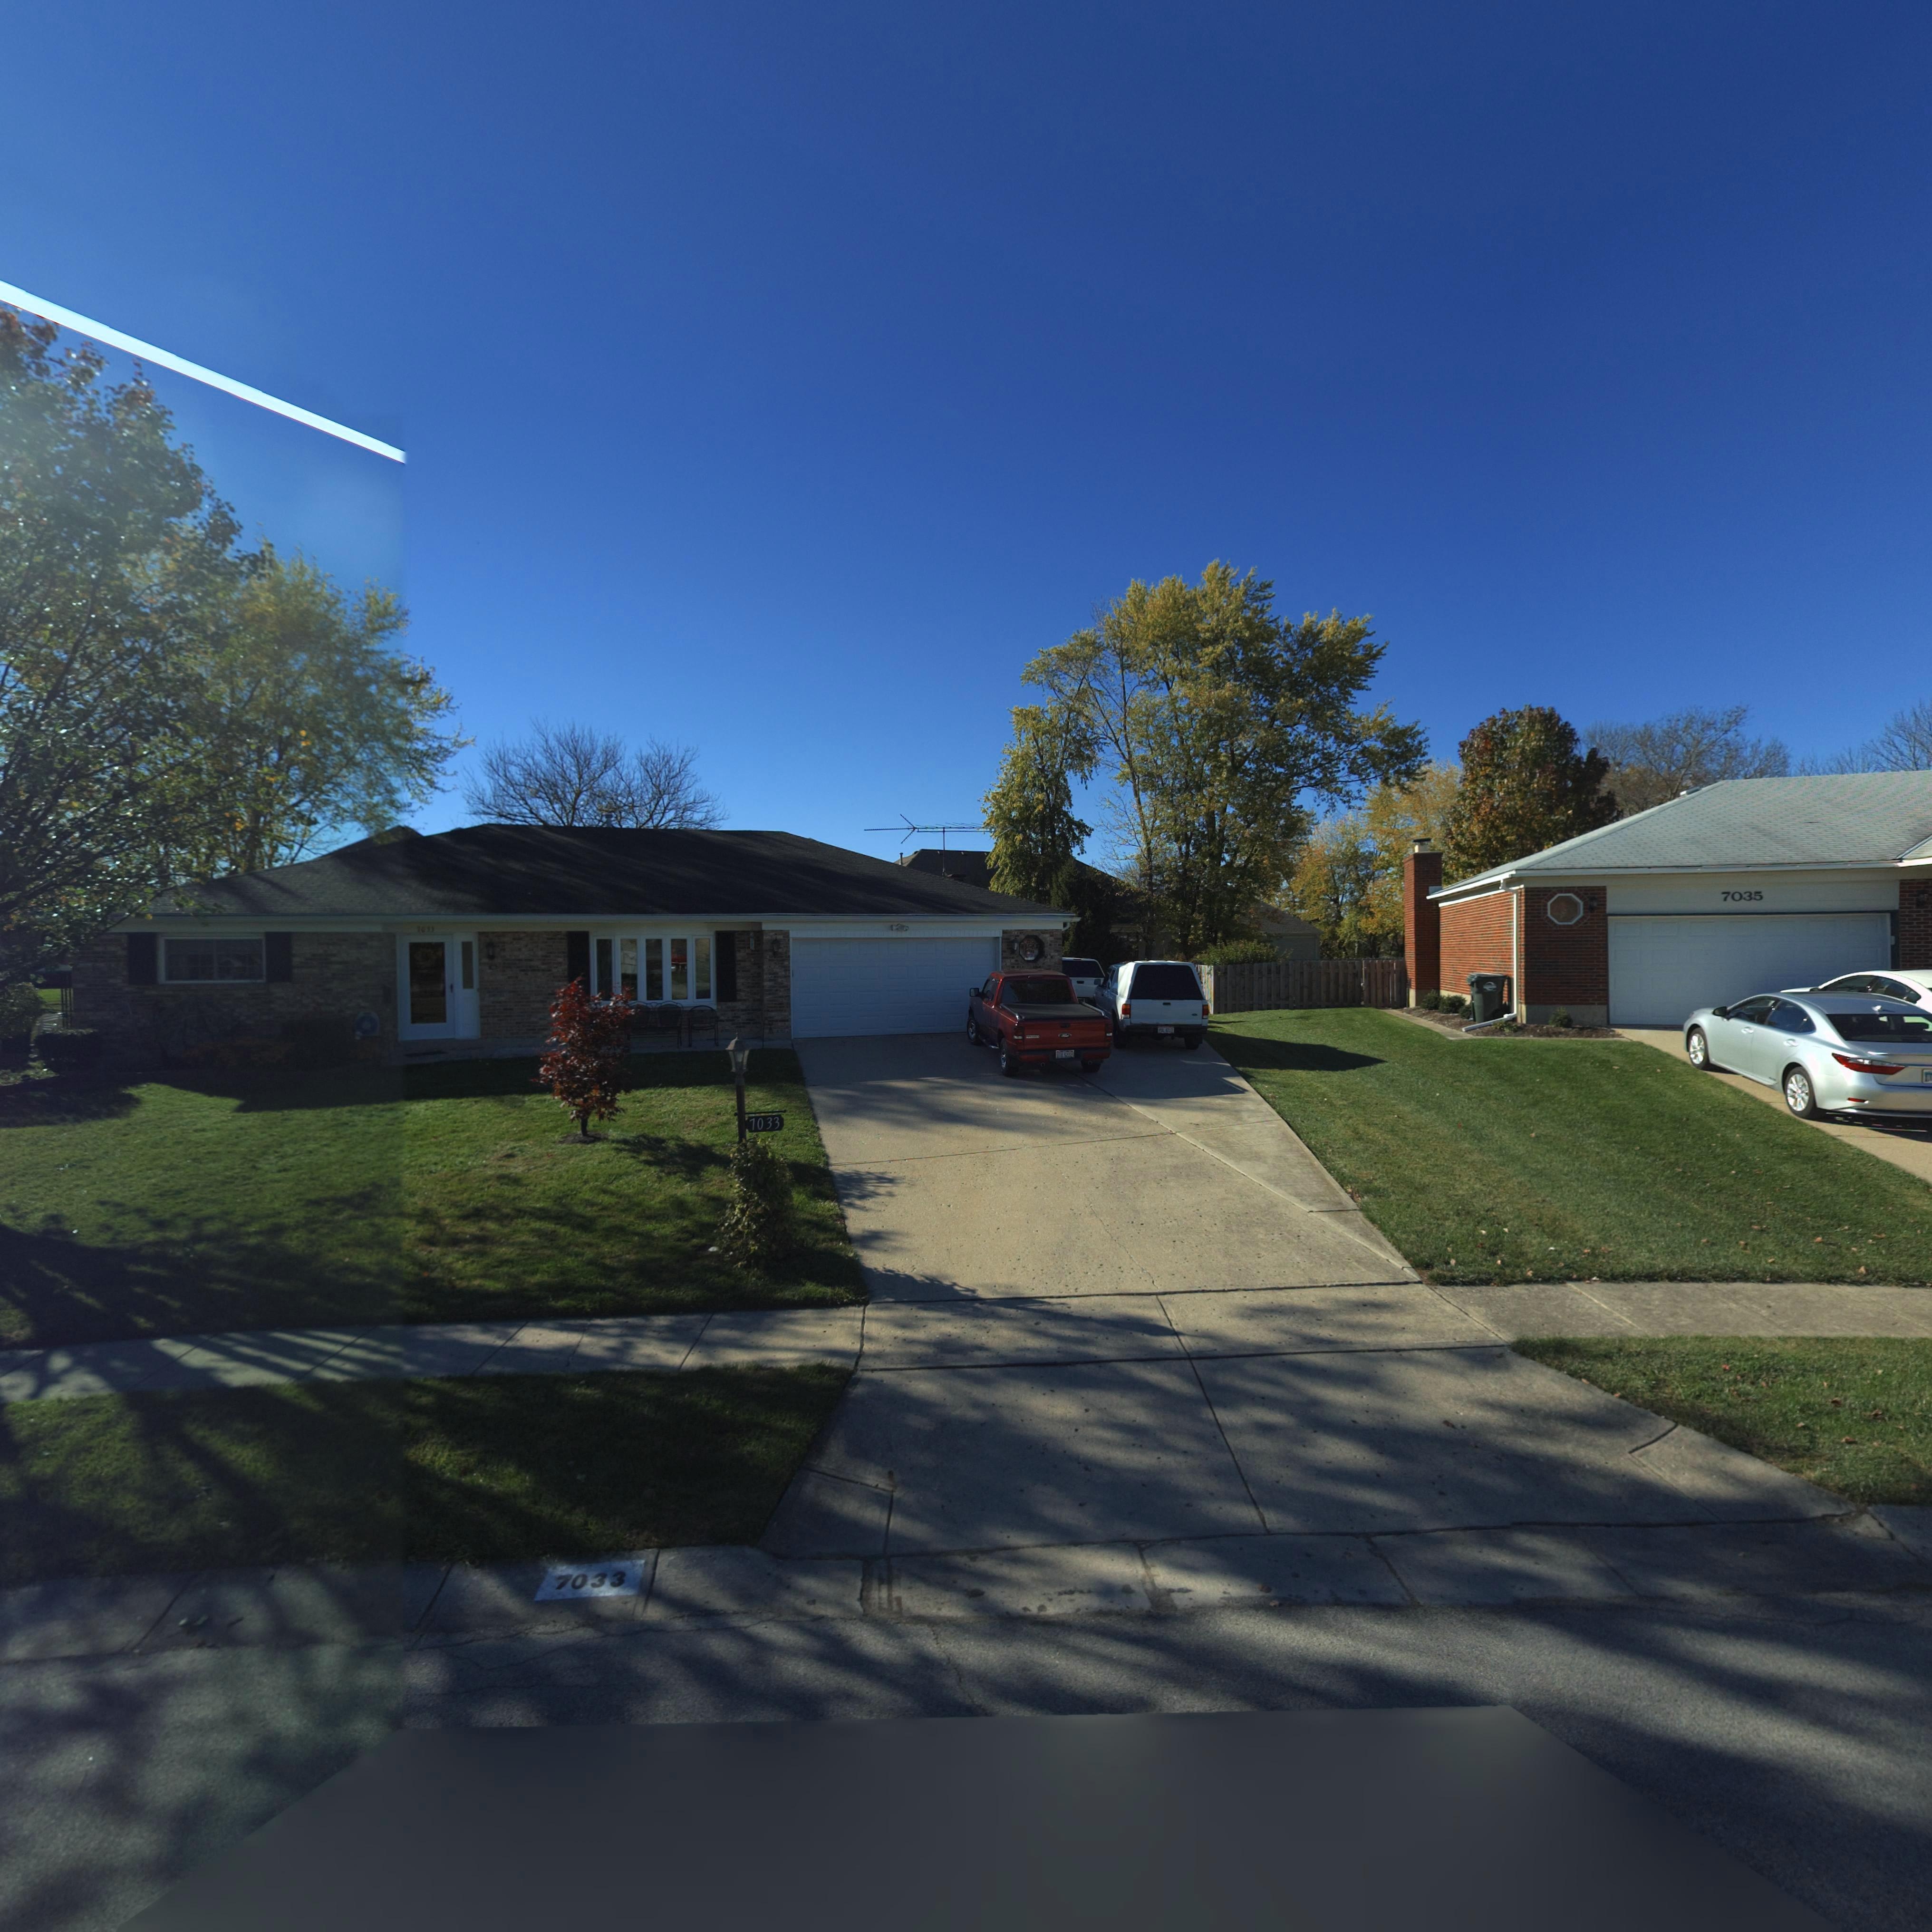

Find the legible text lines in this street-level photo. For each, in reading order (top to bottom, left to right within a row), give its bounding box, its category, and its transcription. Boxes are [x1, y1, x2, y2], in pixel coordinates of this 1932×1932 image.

[1720, 890, 1764, 902] StreetNumber: 7035
[415, 925, 435, 933] StreetNumber: 7033
[748, 1116, 781, 1132] StreetNumber: 7033
[554, 1570, 628, 1591] StreetNumber: 7033